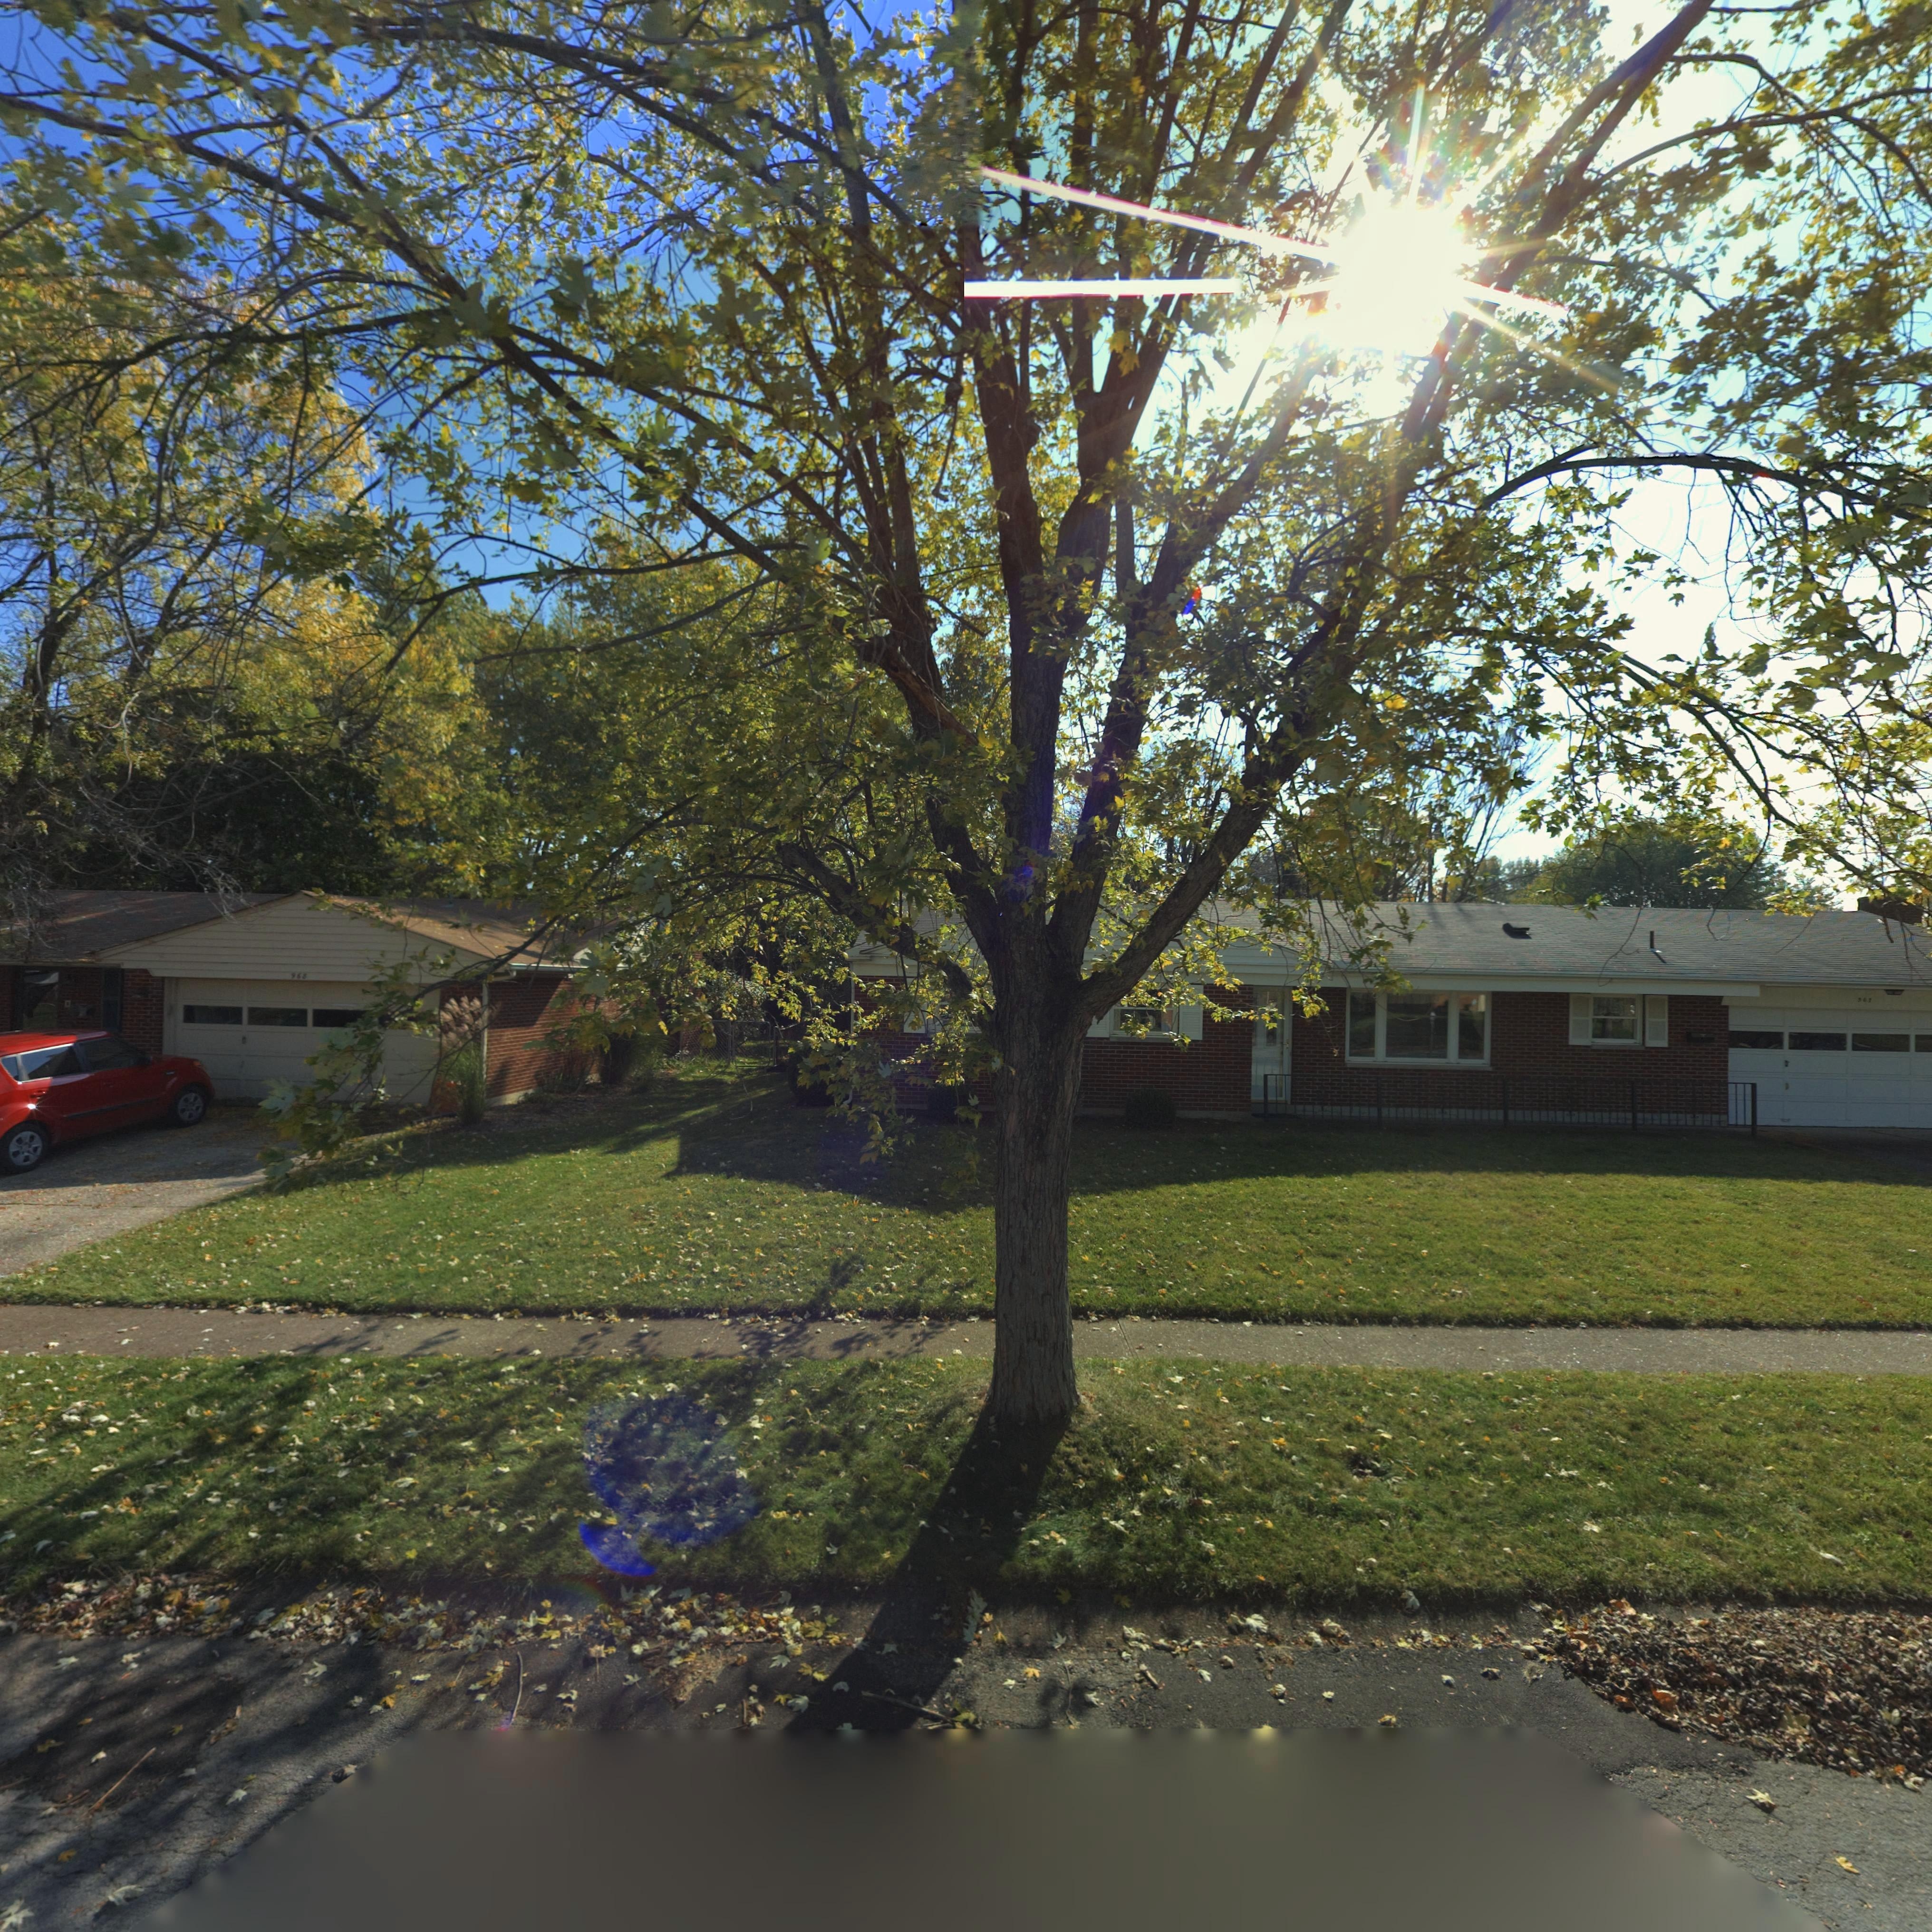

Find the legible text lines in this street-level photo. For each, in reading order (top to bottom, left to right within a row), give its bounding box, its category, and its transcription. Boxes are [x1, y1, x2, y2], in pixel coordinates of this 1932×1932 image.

[290, 972, 309, 980] StreetNumber: 968
[1857, 997, 1872, 1003] StreetNumber: 967